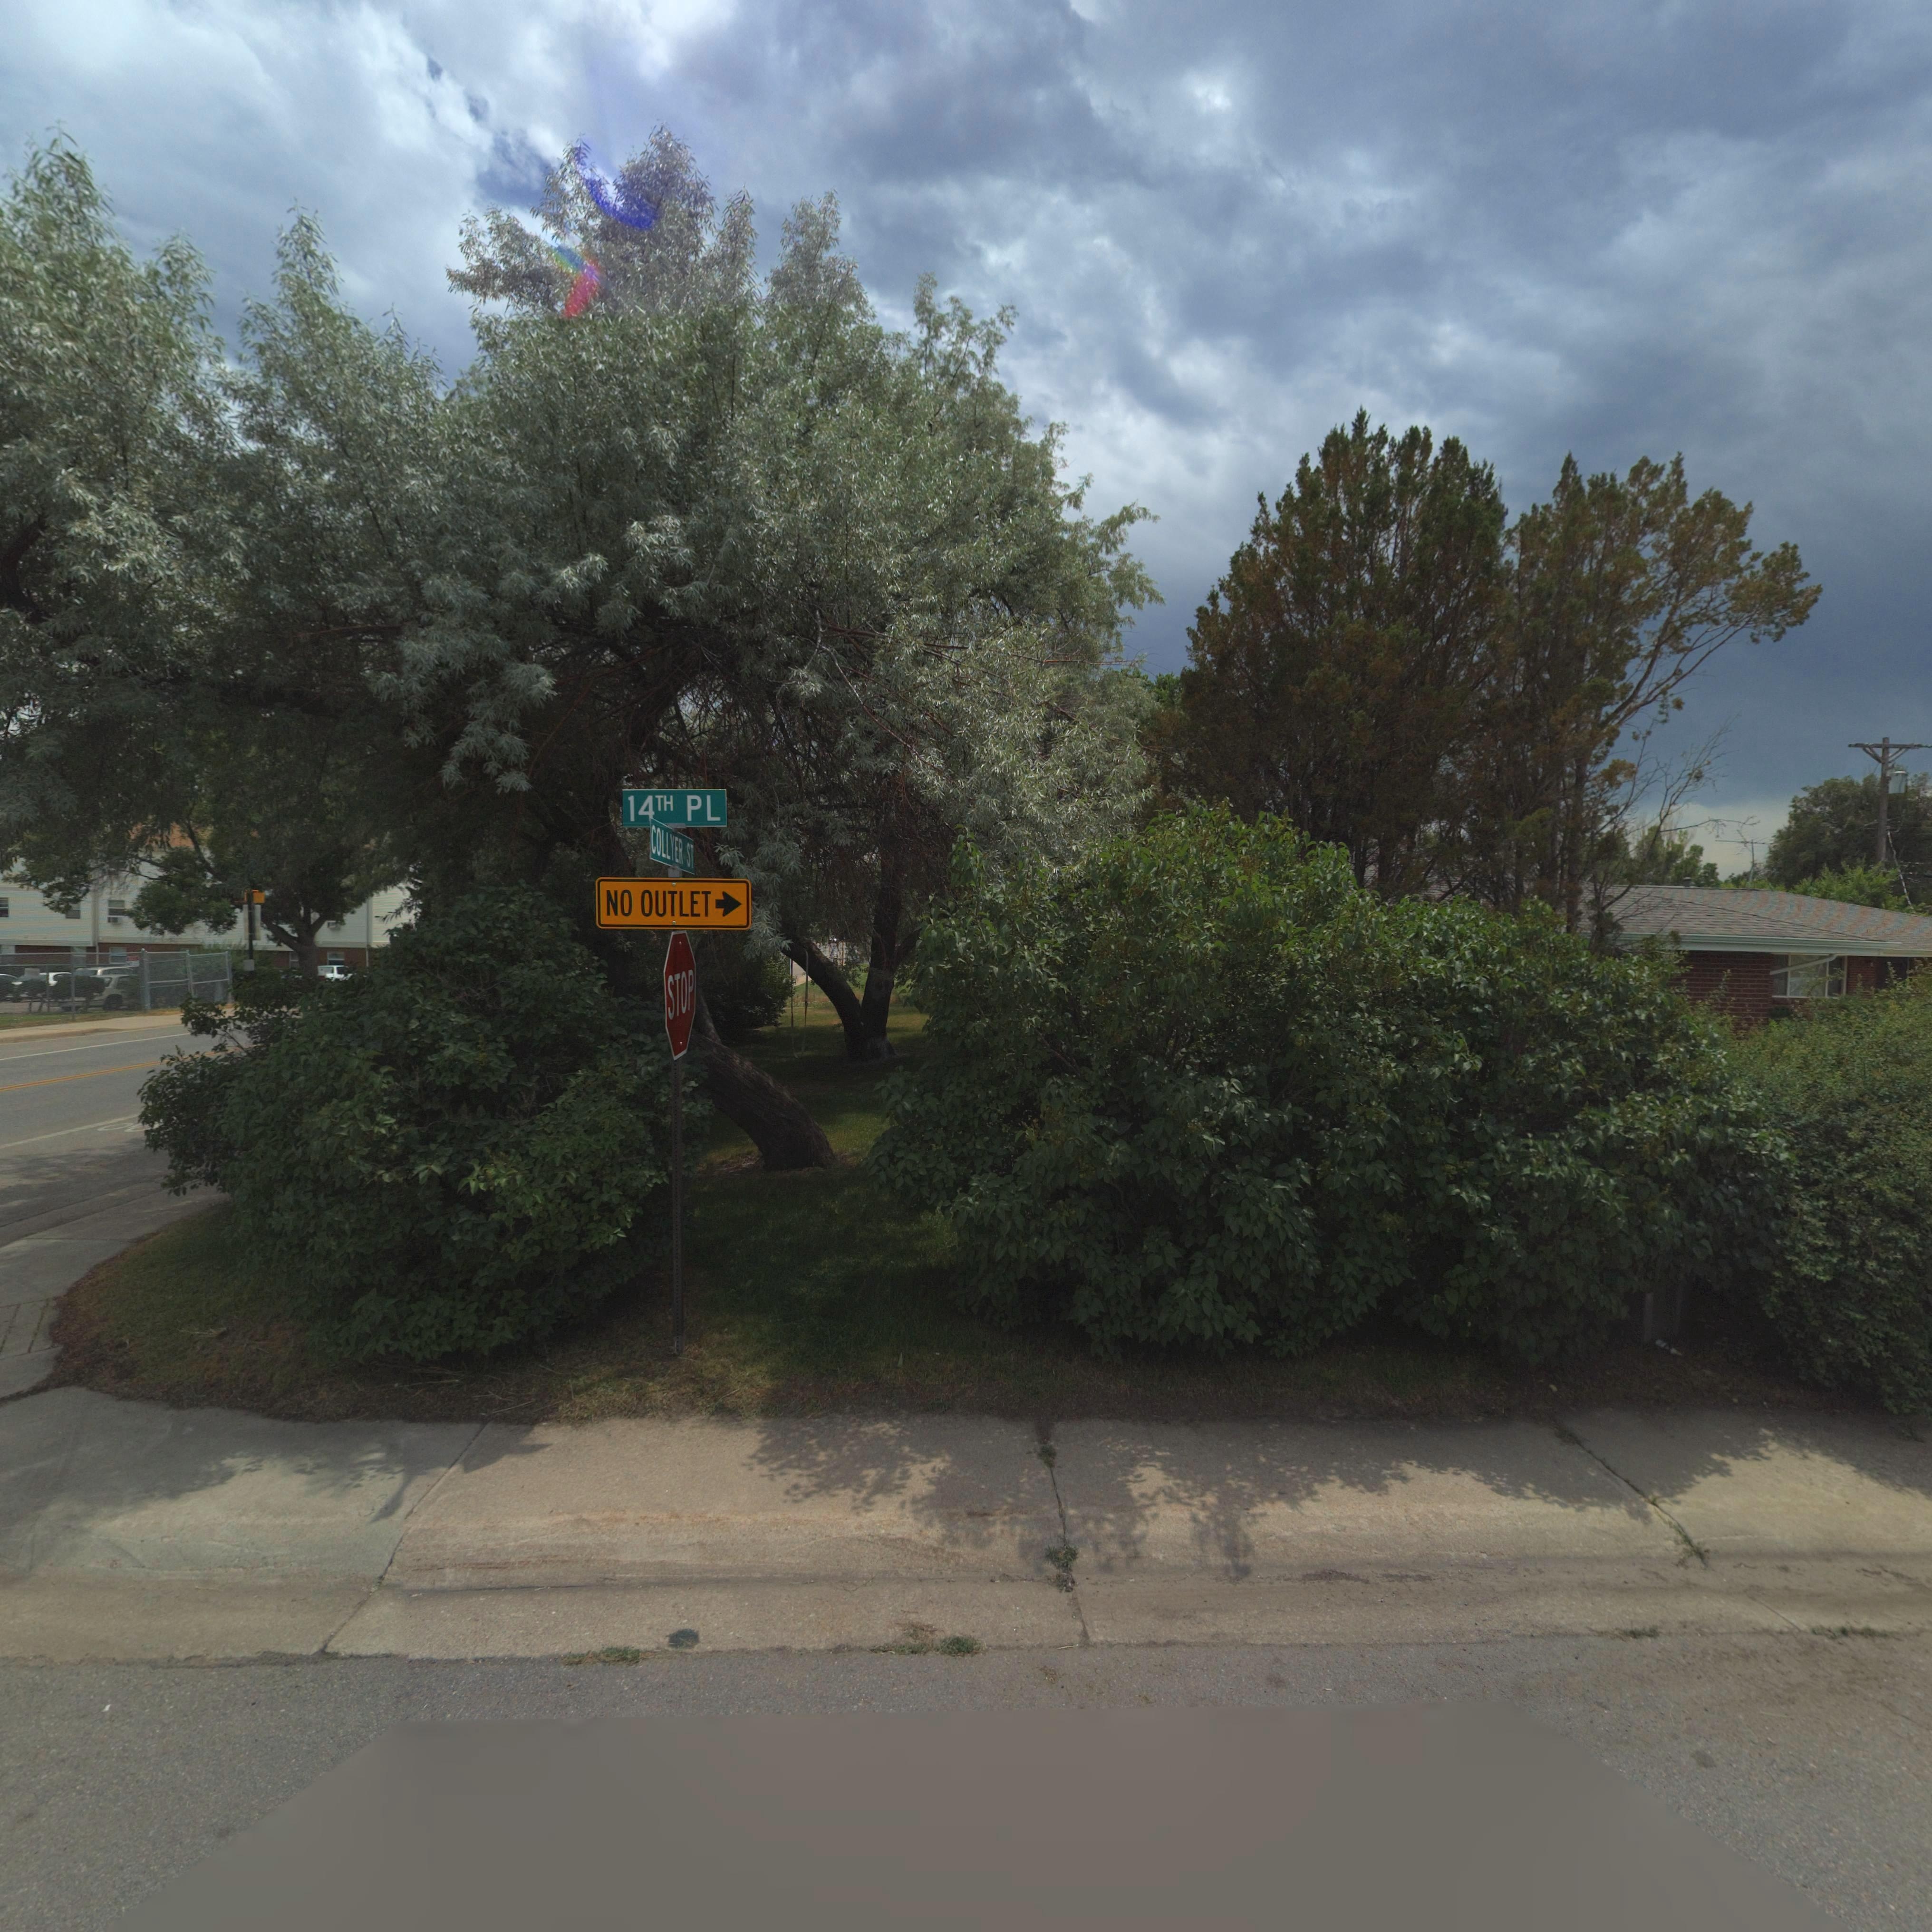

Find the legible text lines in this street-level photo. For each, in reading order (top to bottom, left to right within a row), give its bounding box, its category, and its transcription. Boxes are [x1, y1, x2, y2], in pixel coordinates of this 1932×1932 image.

[628, 795, 720, 821] StreetName: 14TH PL
[651, 824, 694, 869] StreetName: COLLYER ST